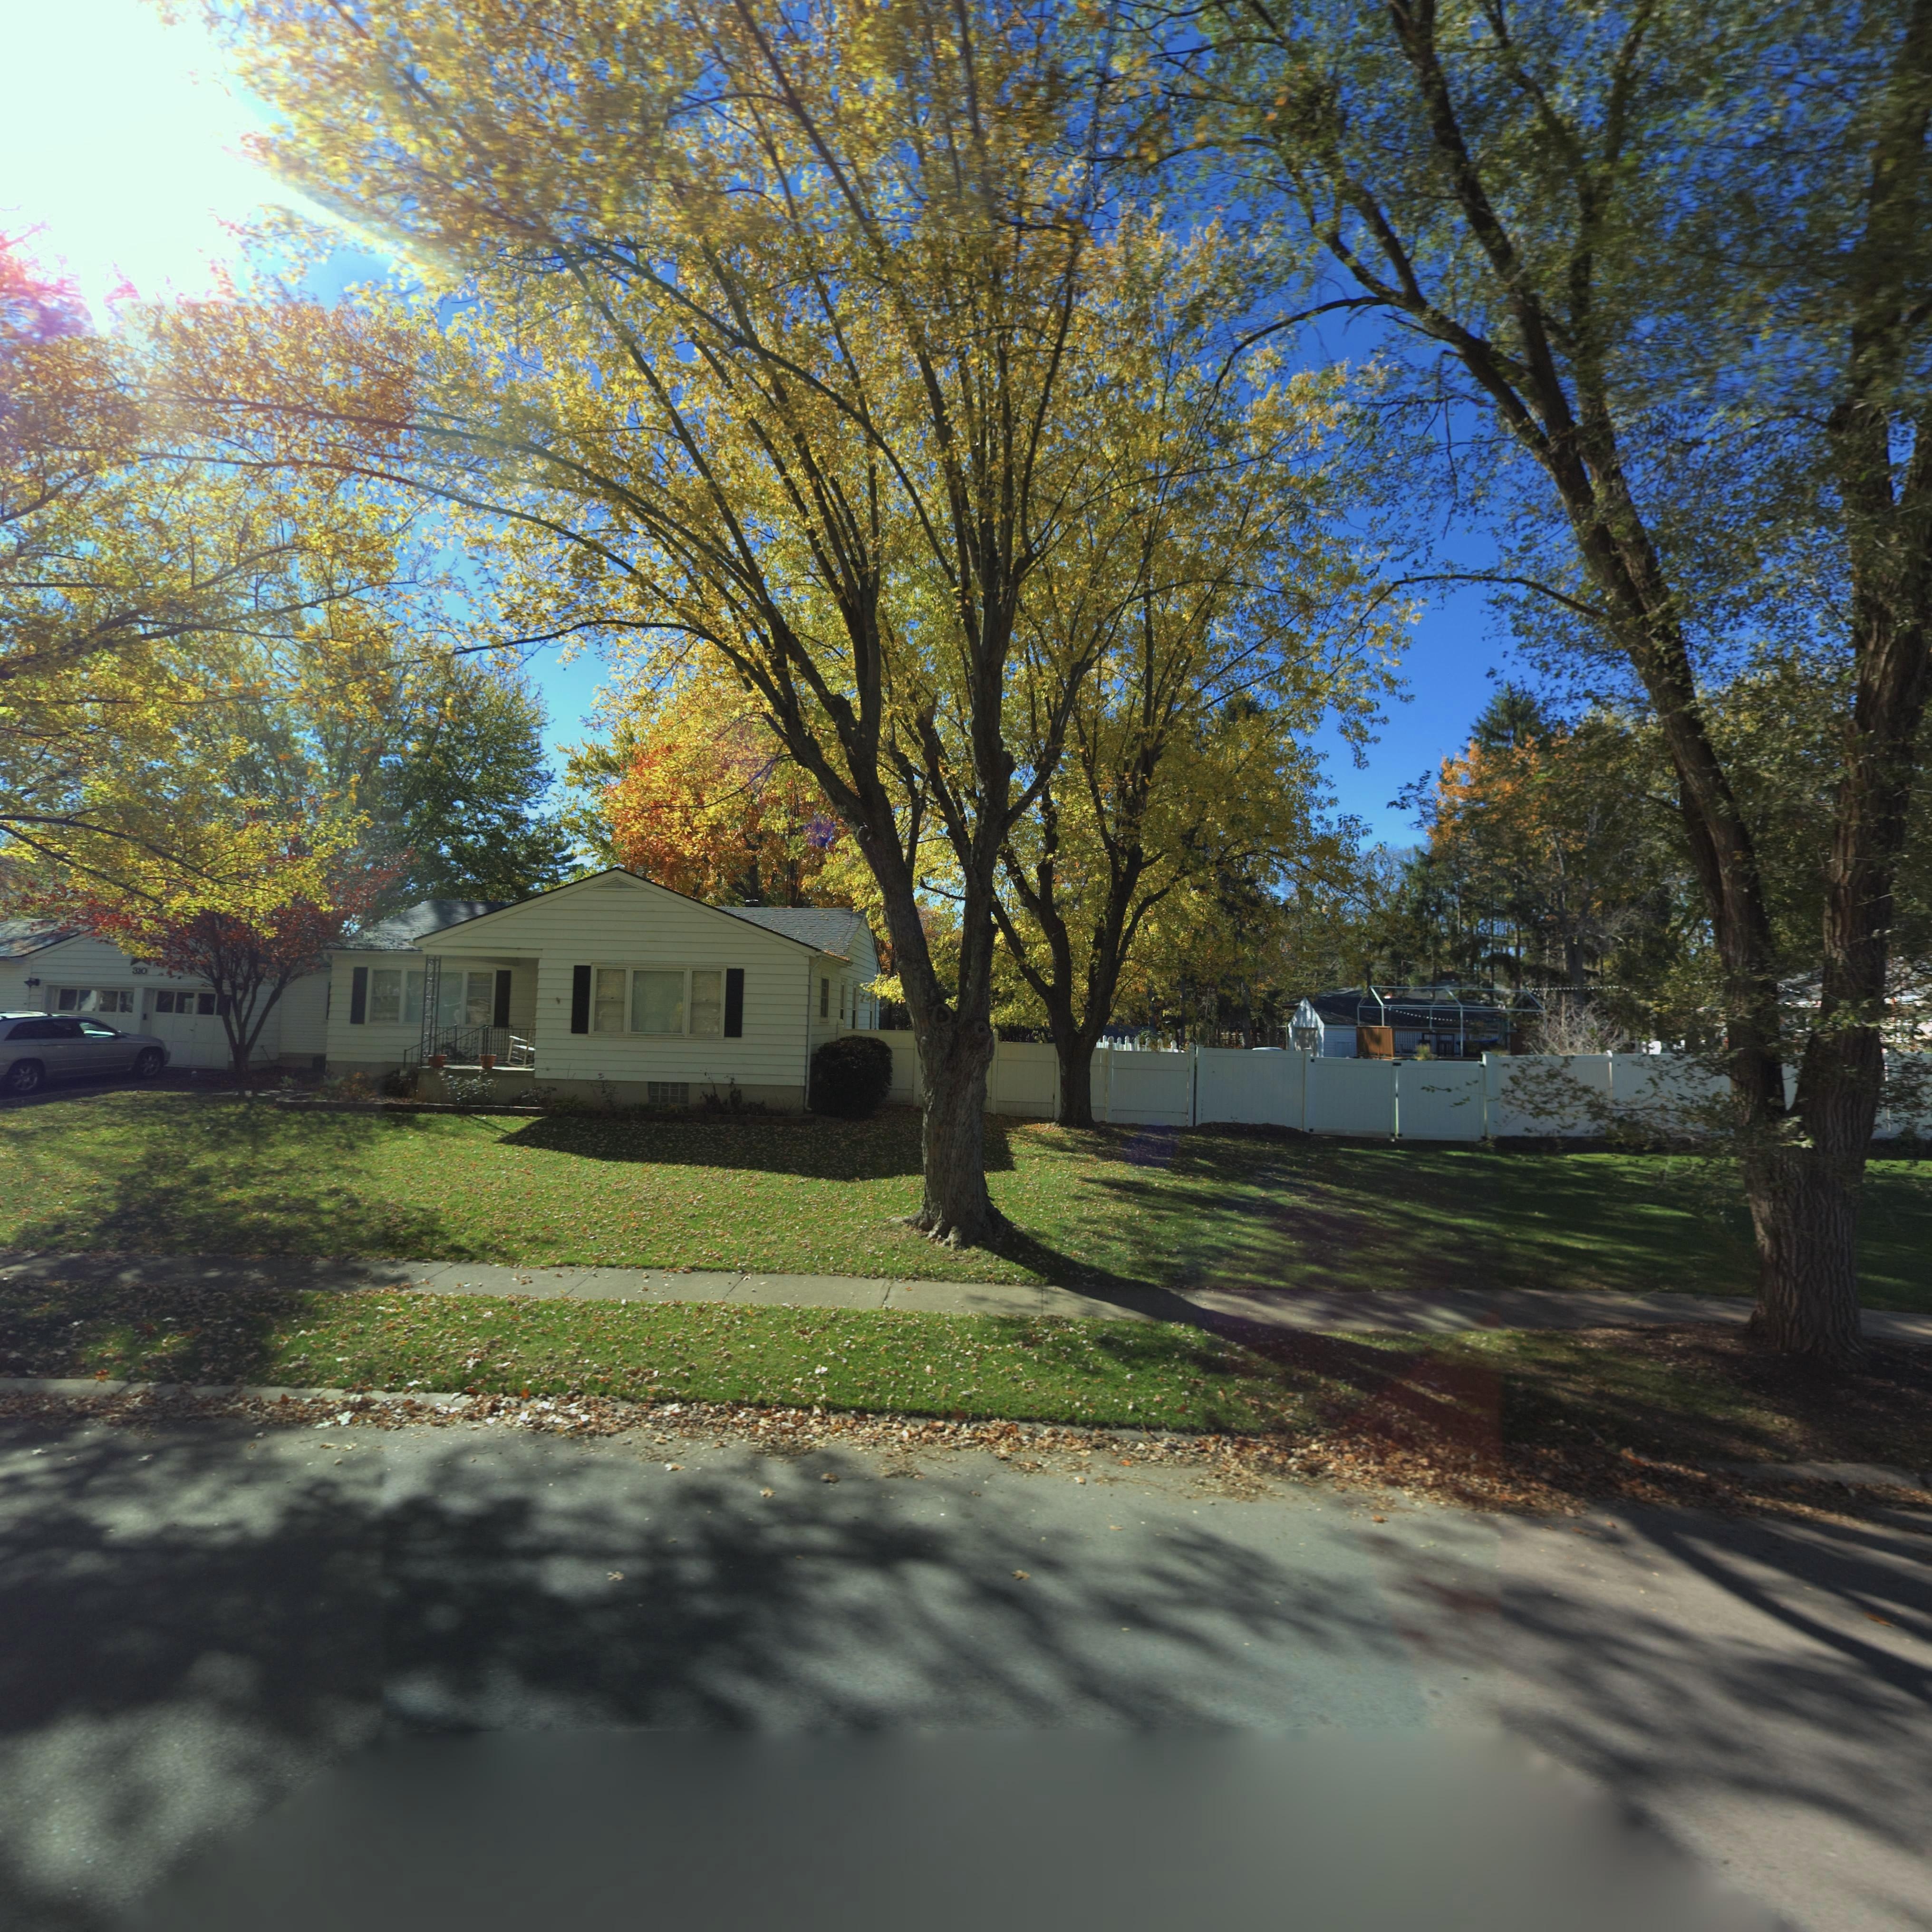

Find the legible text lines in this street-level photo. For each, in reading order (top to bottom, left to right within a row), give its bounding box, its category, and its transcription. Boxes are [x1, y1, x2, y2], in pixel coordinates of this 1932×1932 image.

[131, 966, 148, 975] StreetNumber: 310